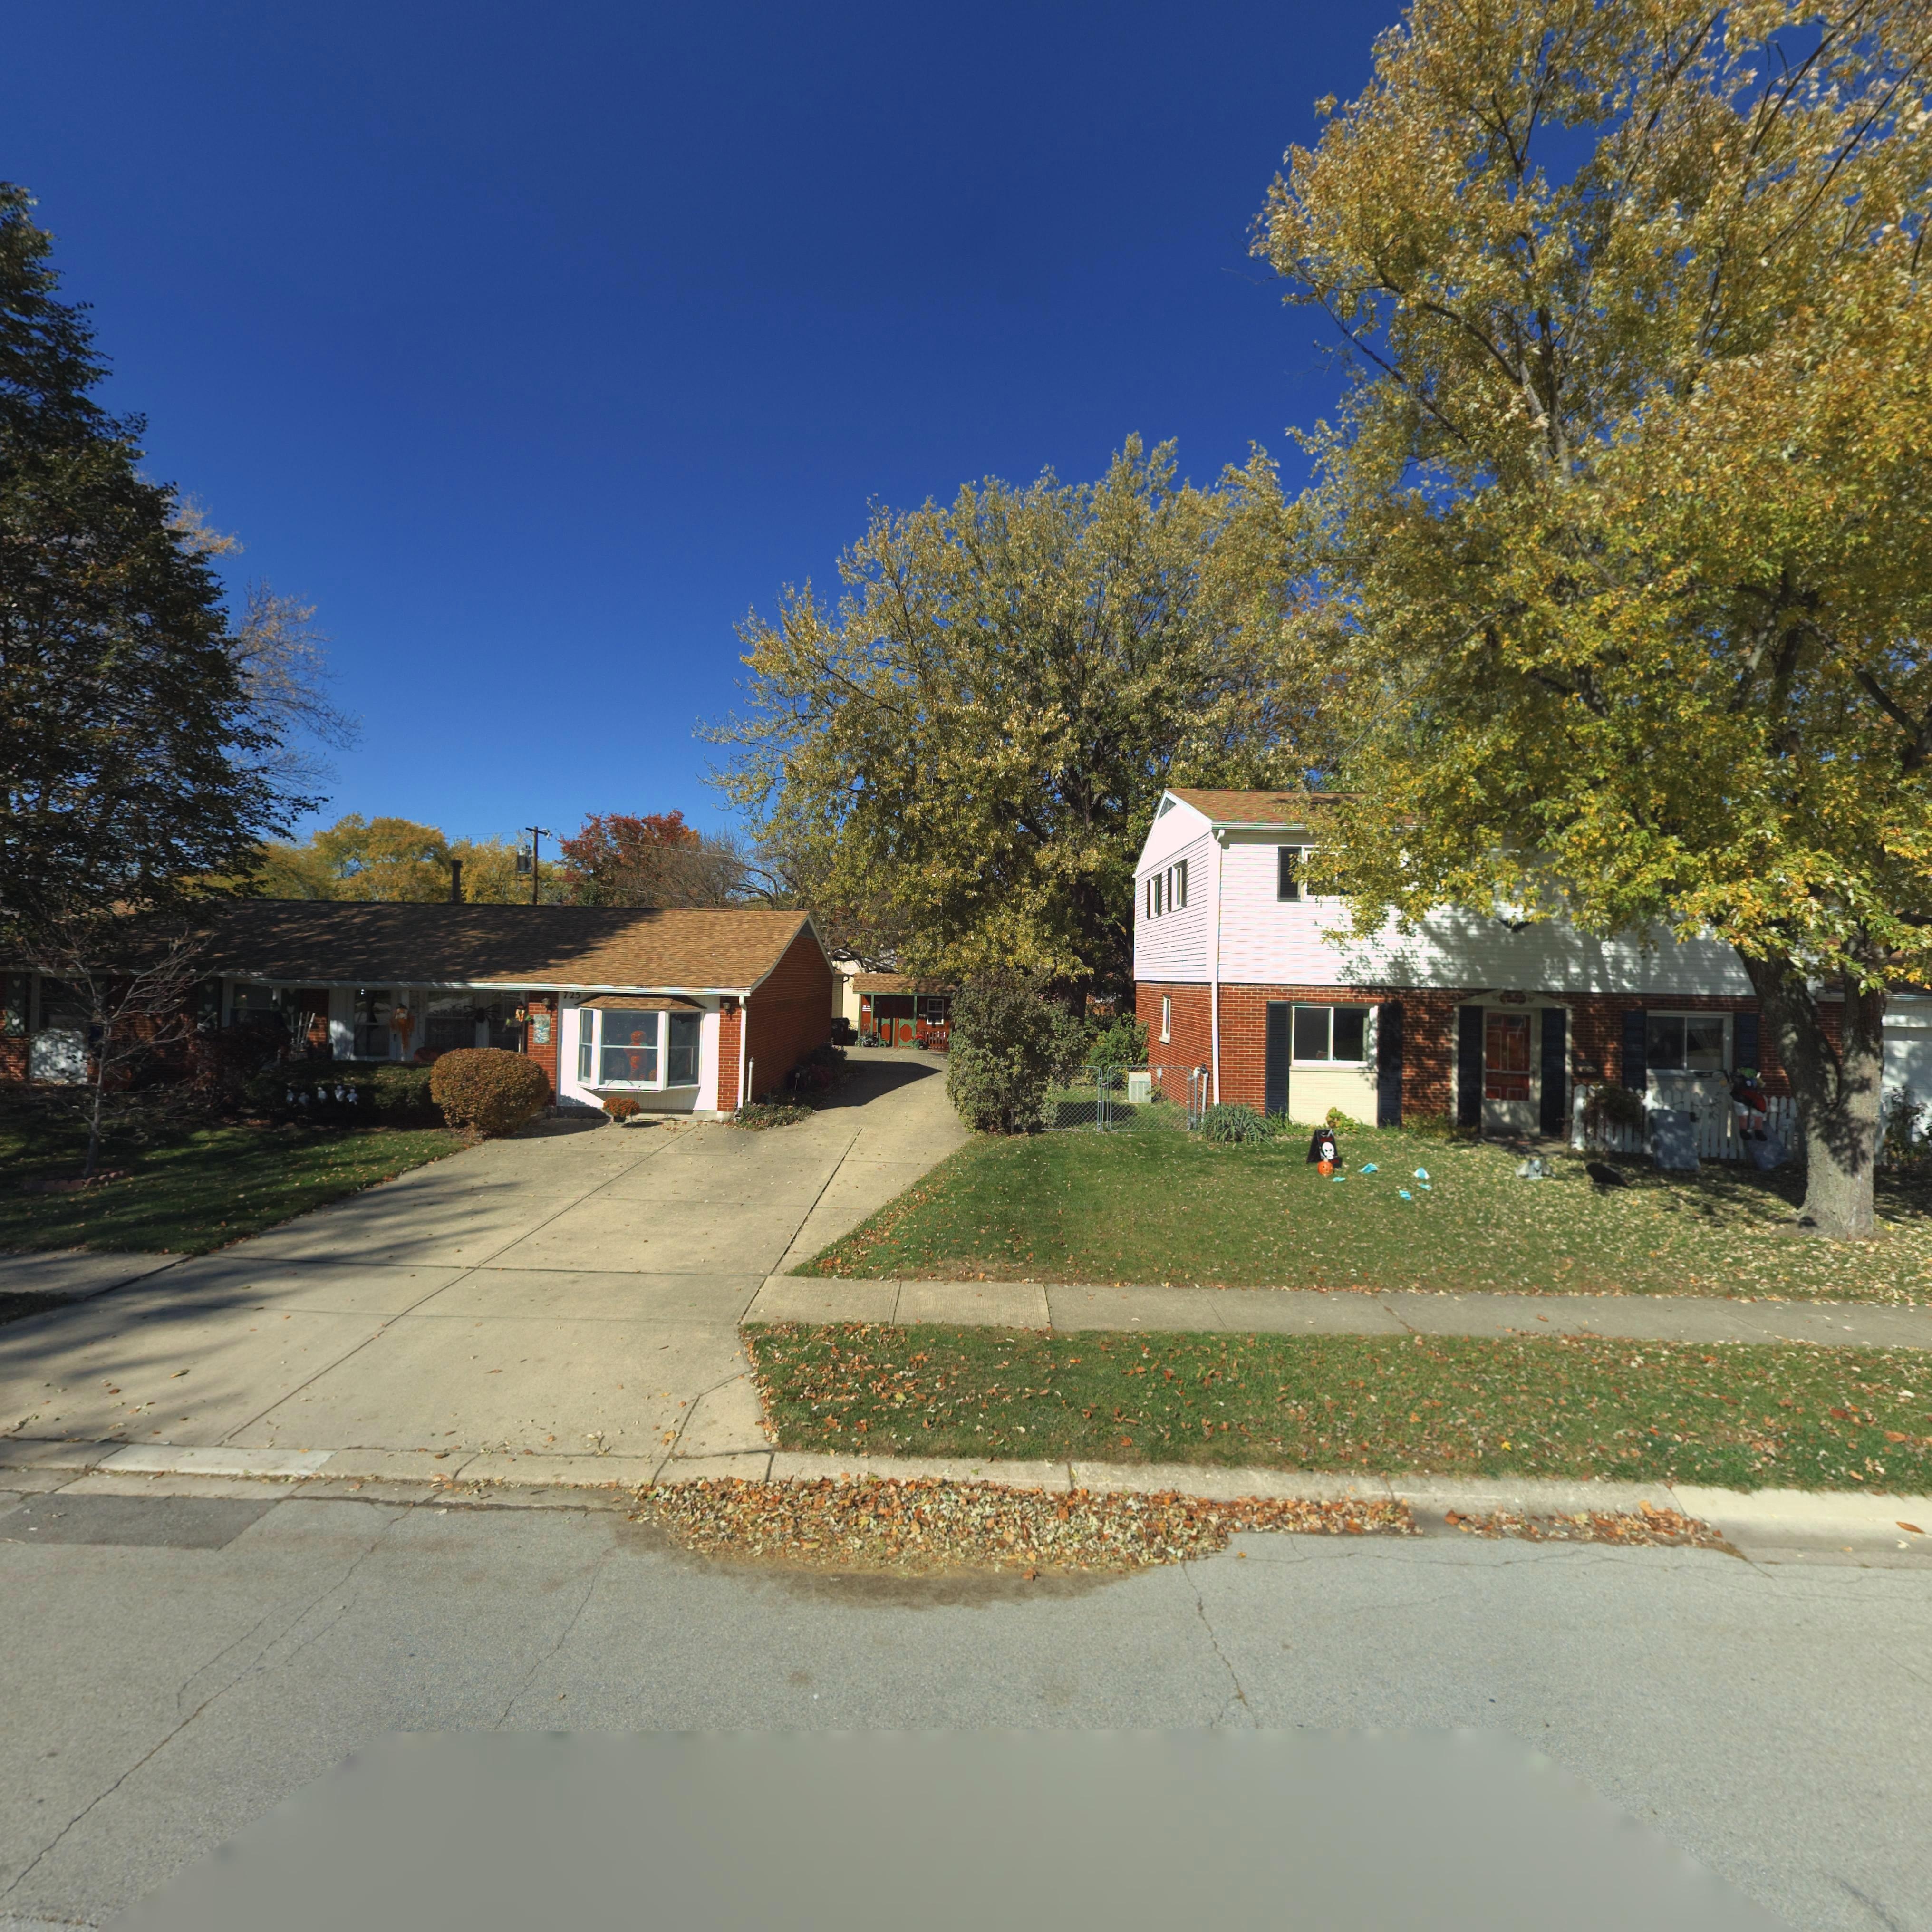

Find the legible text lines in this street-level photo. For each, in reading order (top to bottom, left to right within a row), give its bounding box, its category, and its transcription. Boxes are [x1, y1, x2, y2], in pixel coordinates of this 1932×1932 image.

[562, 990, 581, 1000] StreetNumber: 725